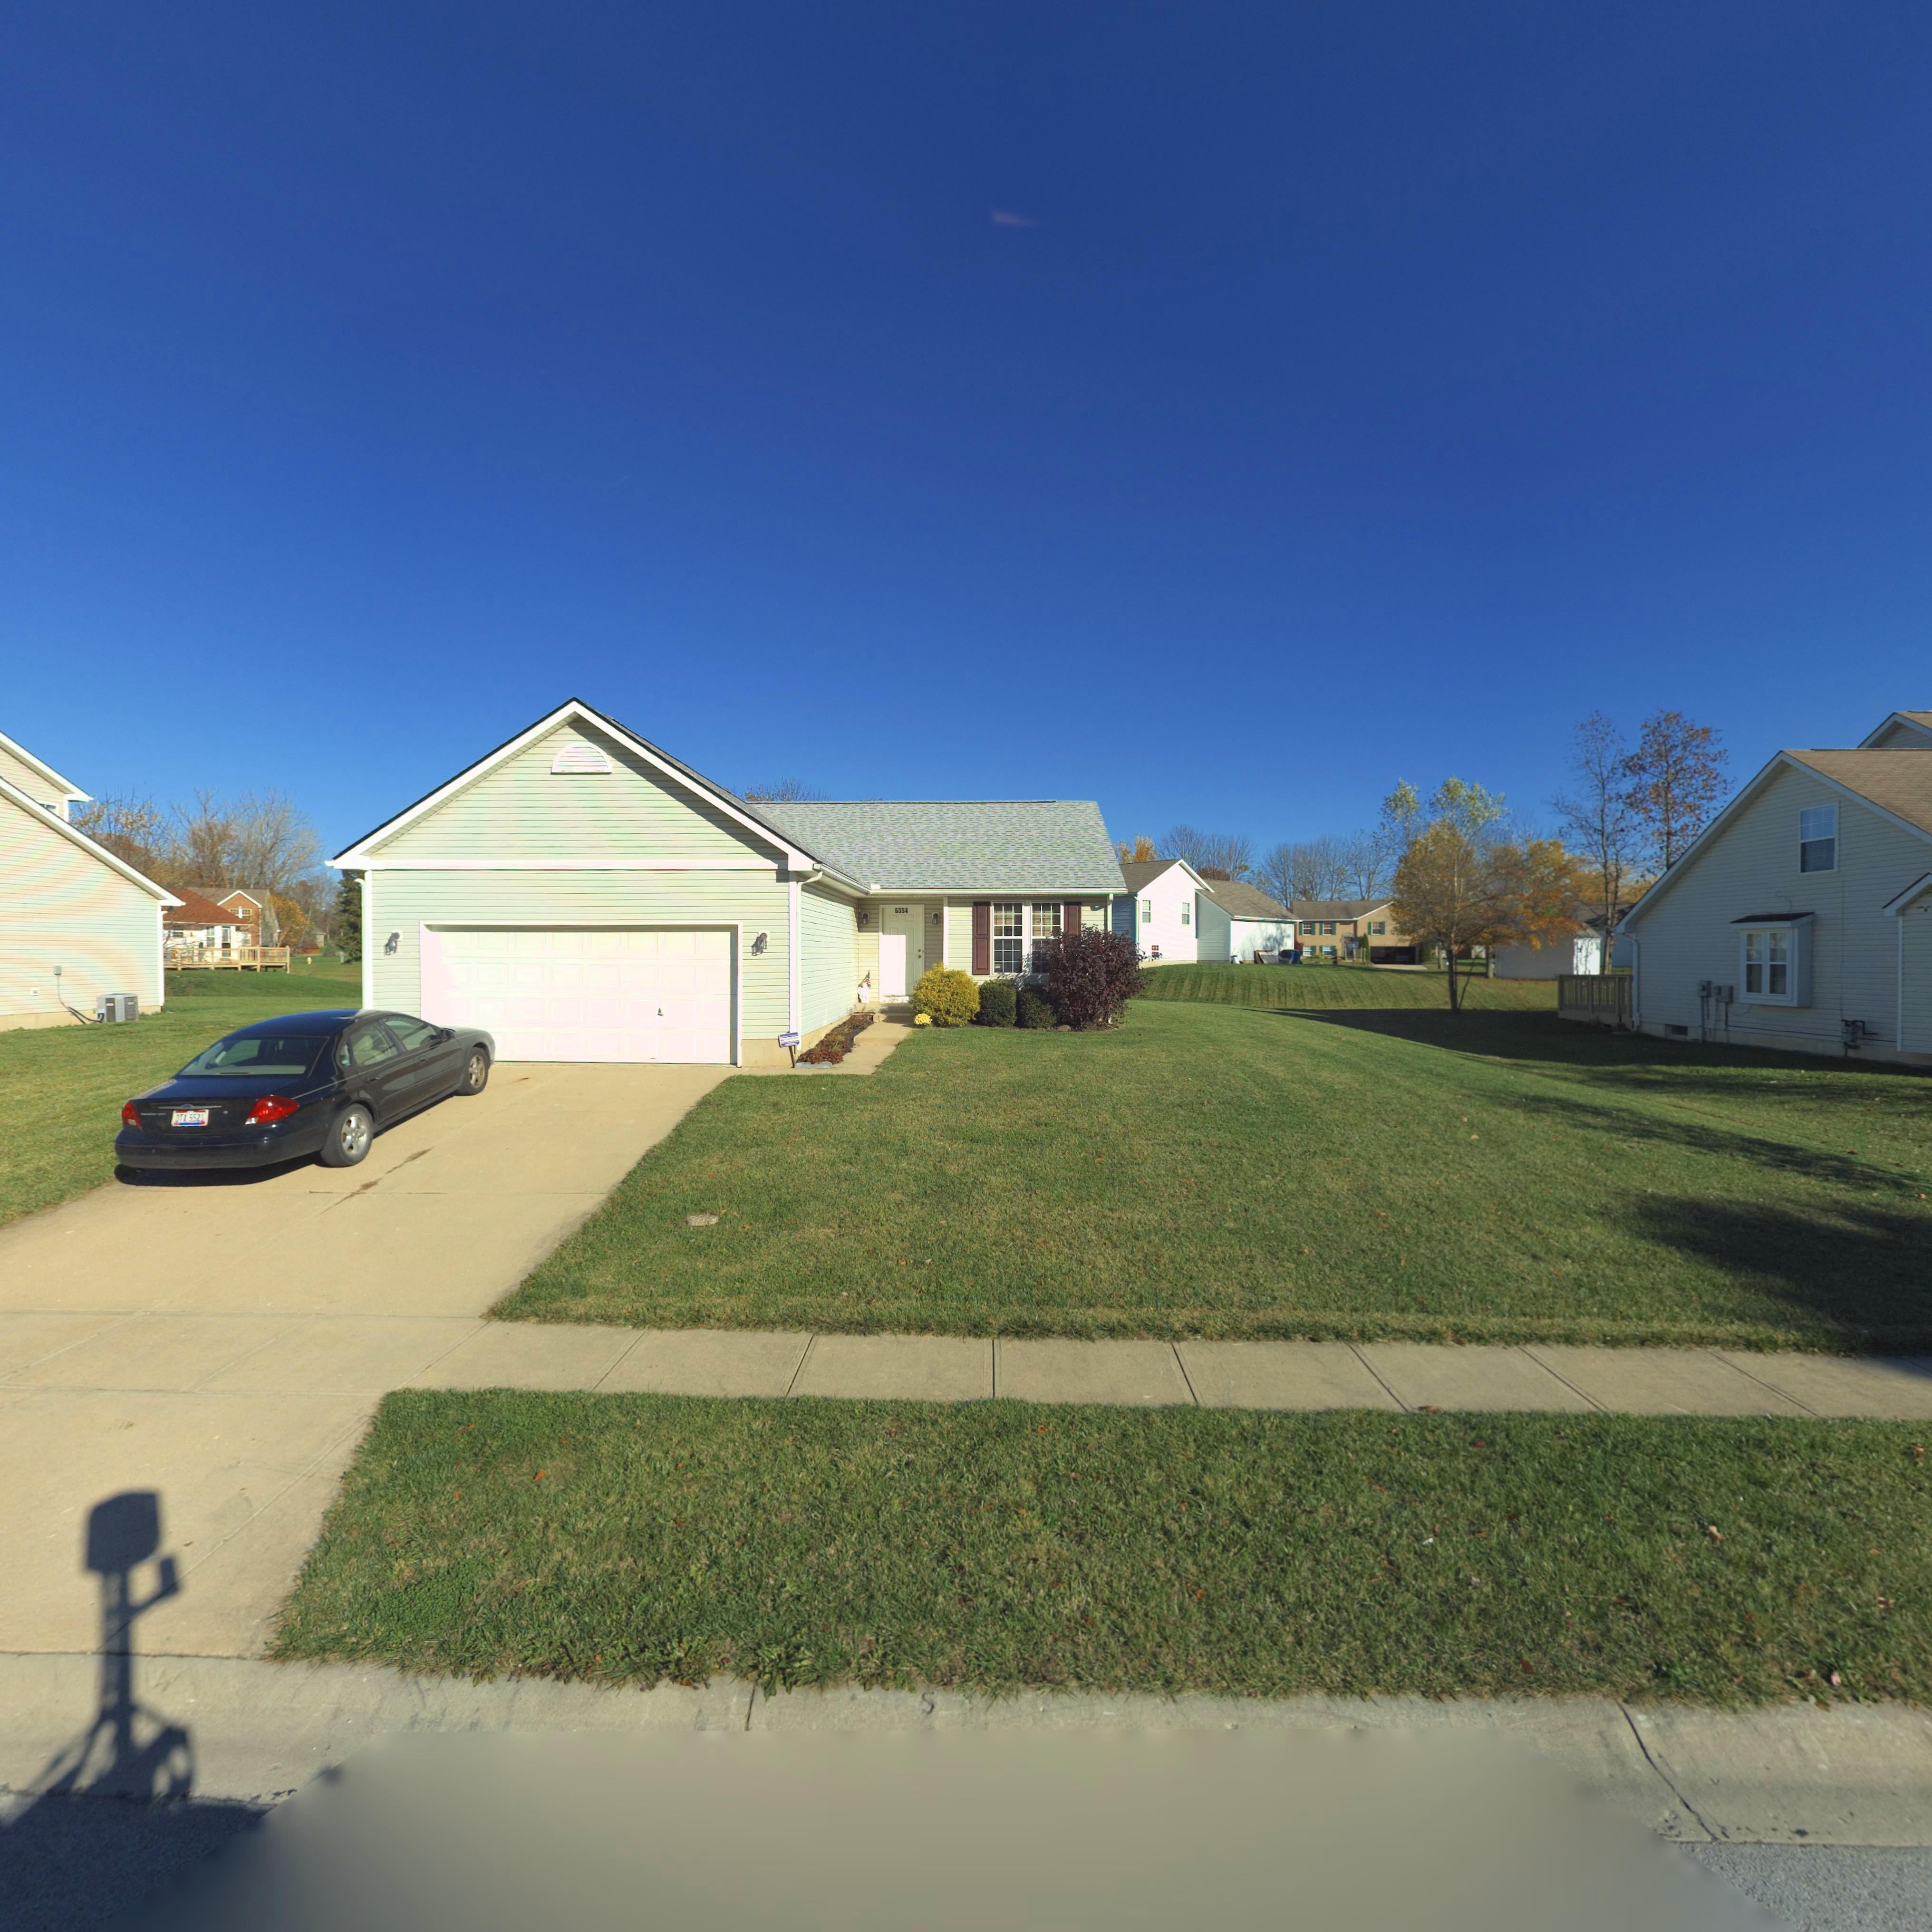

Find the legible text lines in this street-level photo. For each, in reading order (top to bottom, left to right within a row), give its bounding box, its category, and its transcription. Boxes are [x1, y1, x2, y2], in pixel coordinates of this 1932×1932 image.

[895, 907, 908, 913] StreetNumber: 6354
[174, 1112, 206, 1124] None: DTX 5521